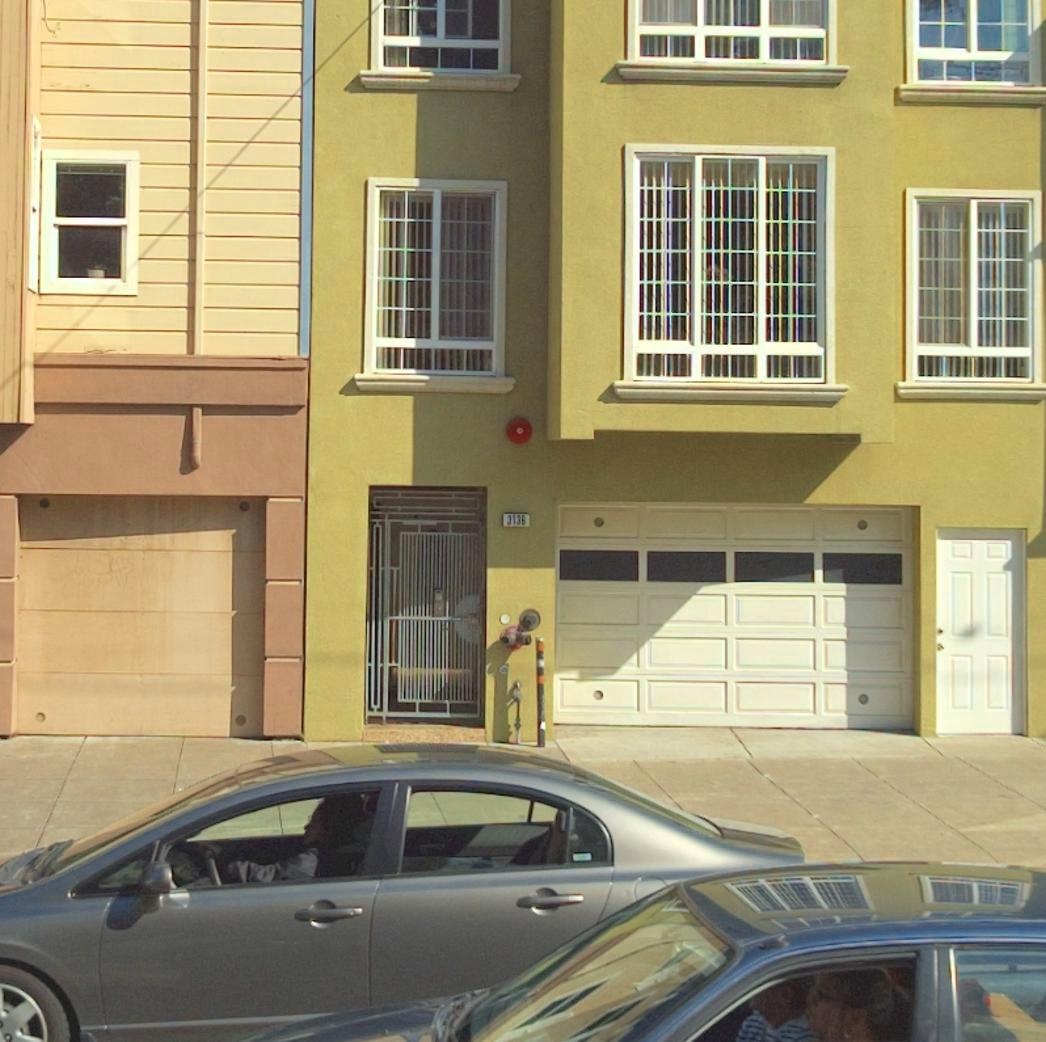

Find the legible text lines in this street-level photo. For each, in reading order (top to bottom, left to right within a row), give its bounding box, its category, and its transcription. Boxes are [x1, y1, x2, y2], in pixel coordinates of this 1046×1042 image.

[505, 514, 528, 527] StreetNumber: 3136